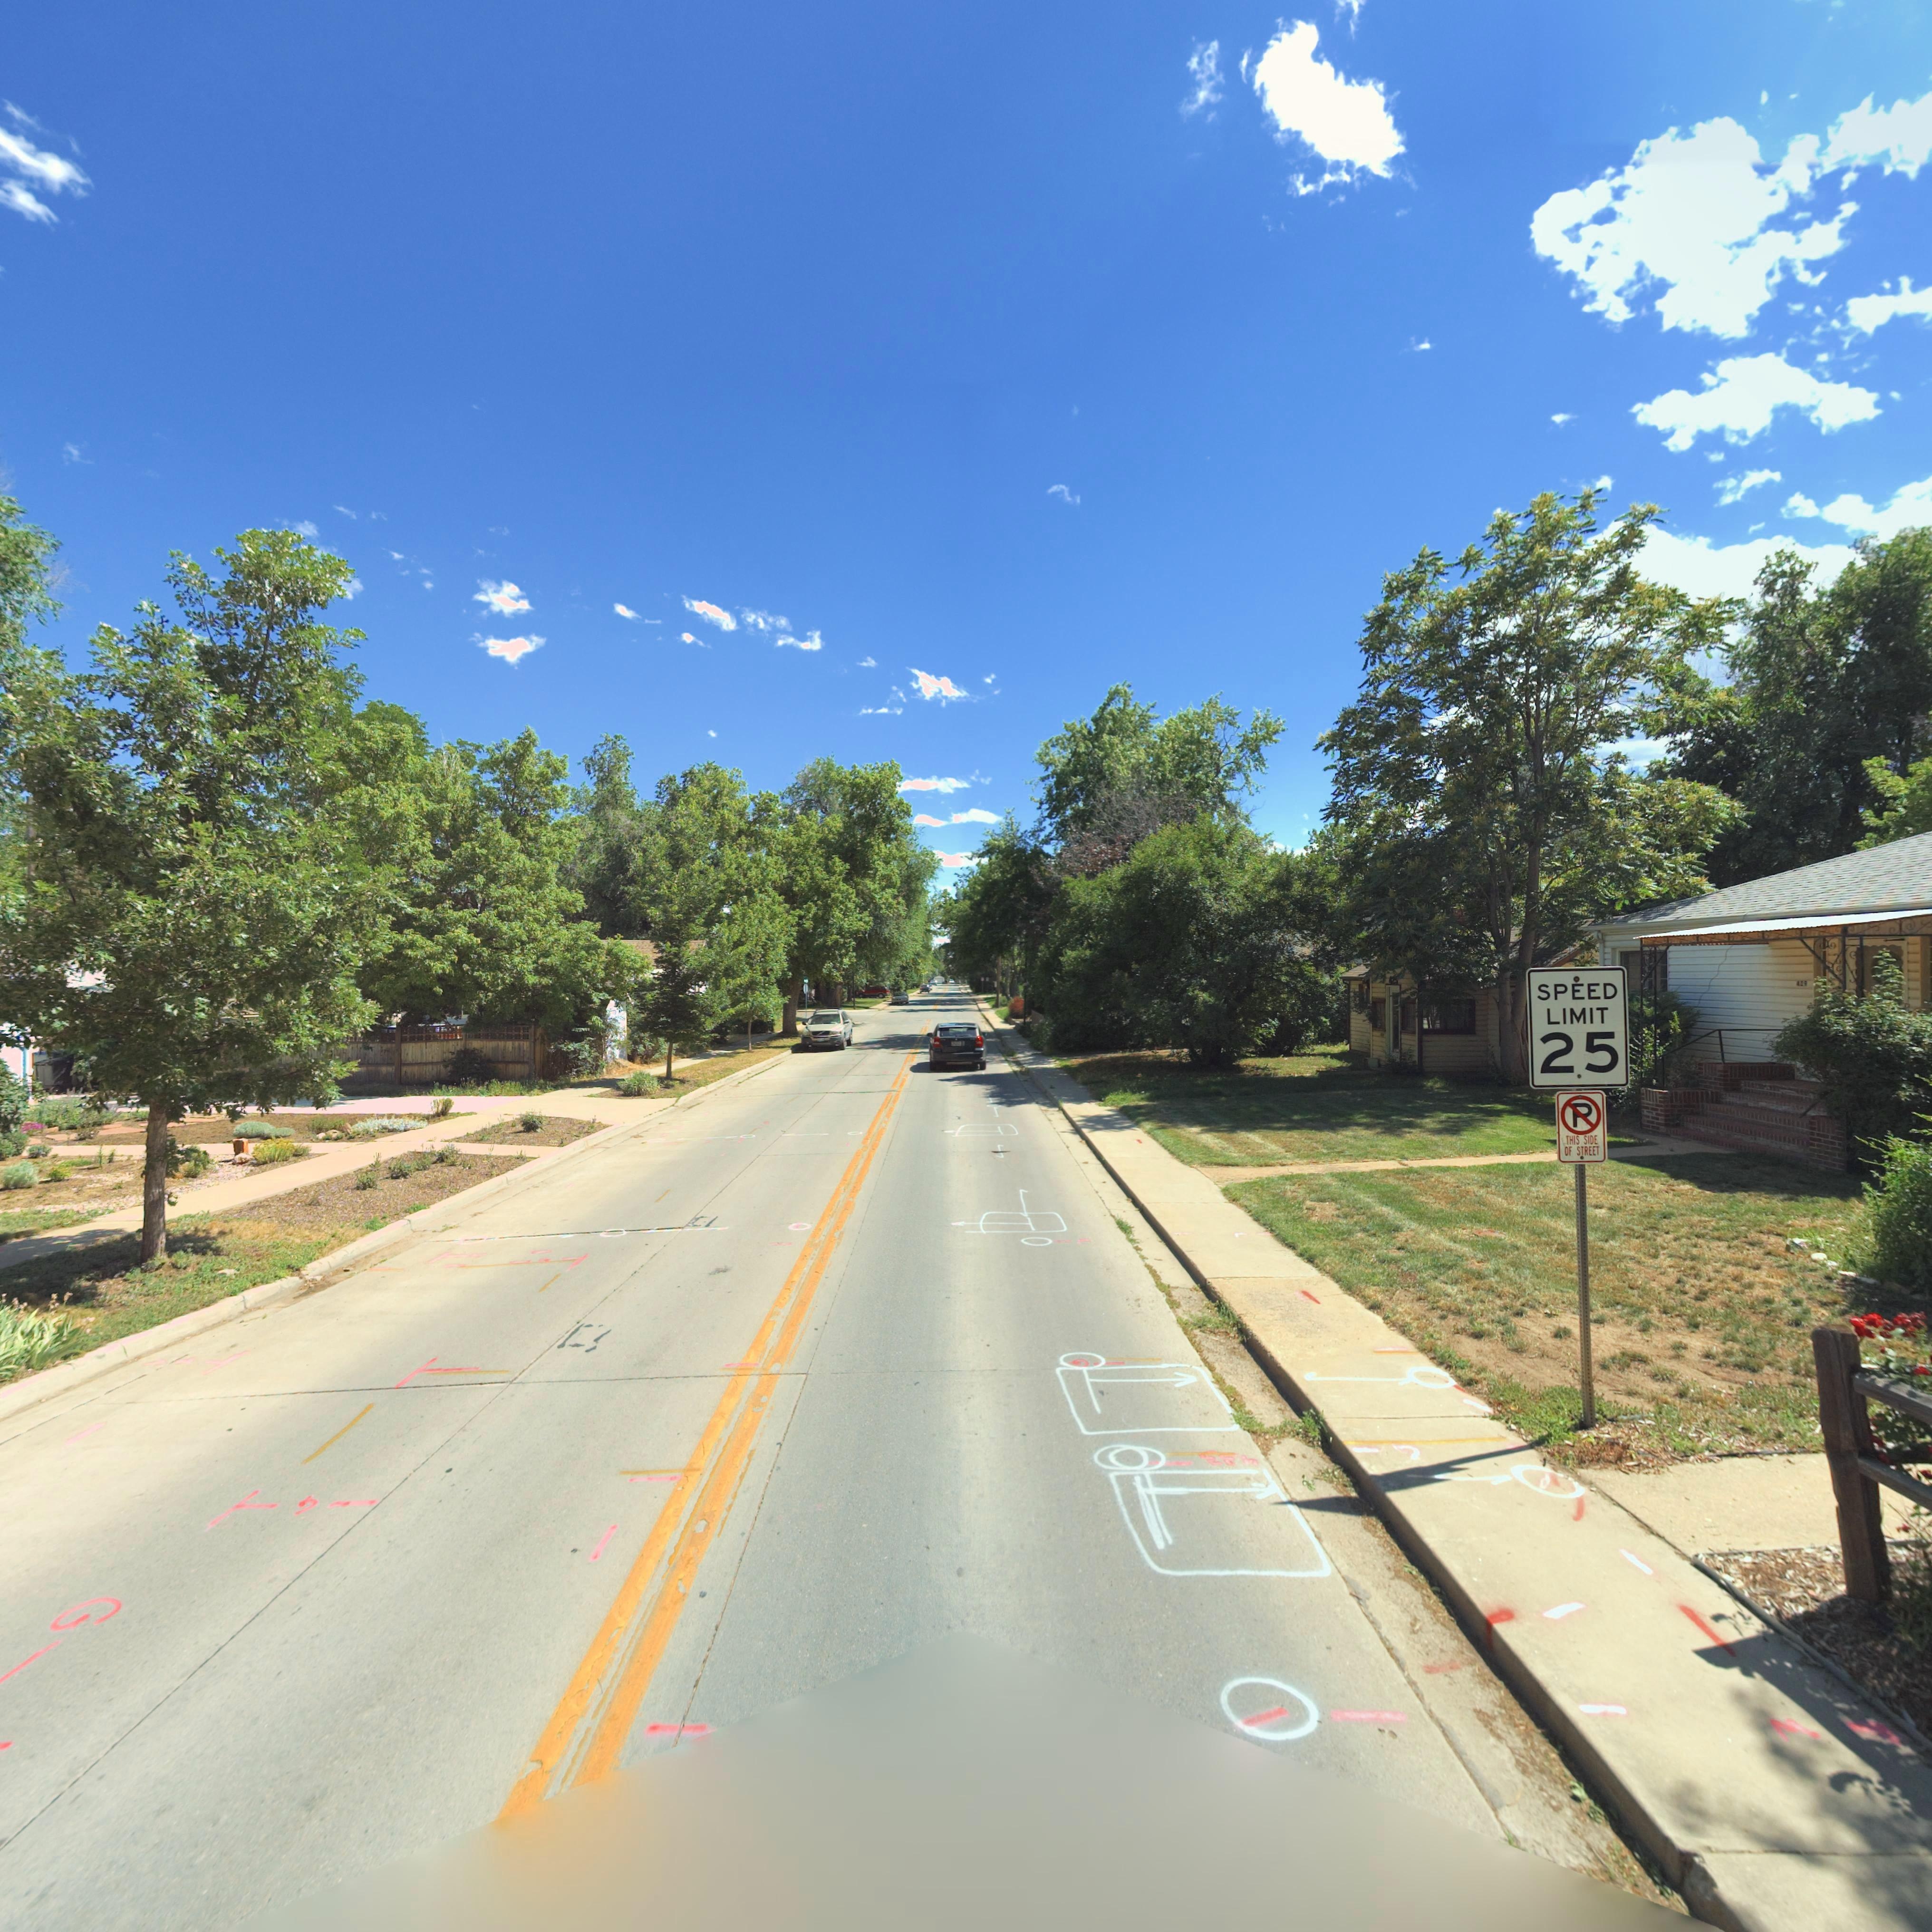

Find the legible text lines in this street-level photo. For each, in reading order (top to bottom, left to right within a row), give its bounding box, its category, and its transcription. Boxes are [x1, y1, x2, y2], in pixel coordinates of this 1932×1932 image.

[1795, 979, 1807, 987] StreetNumber: 429